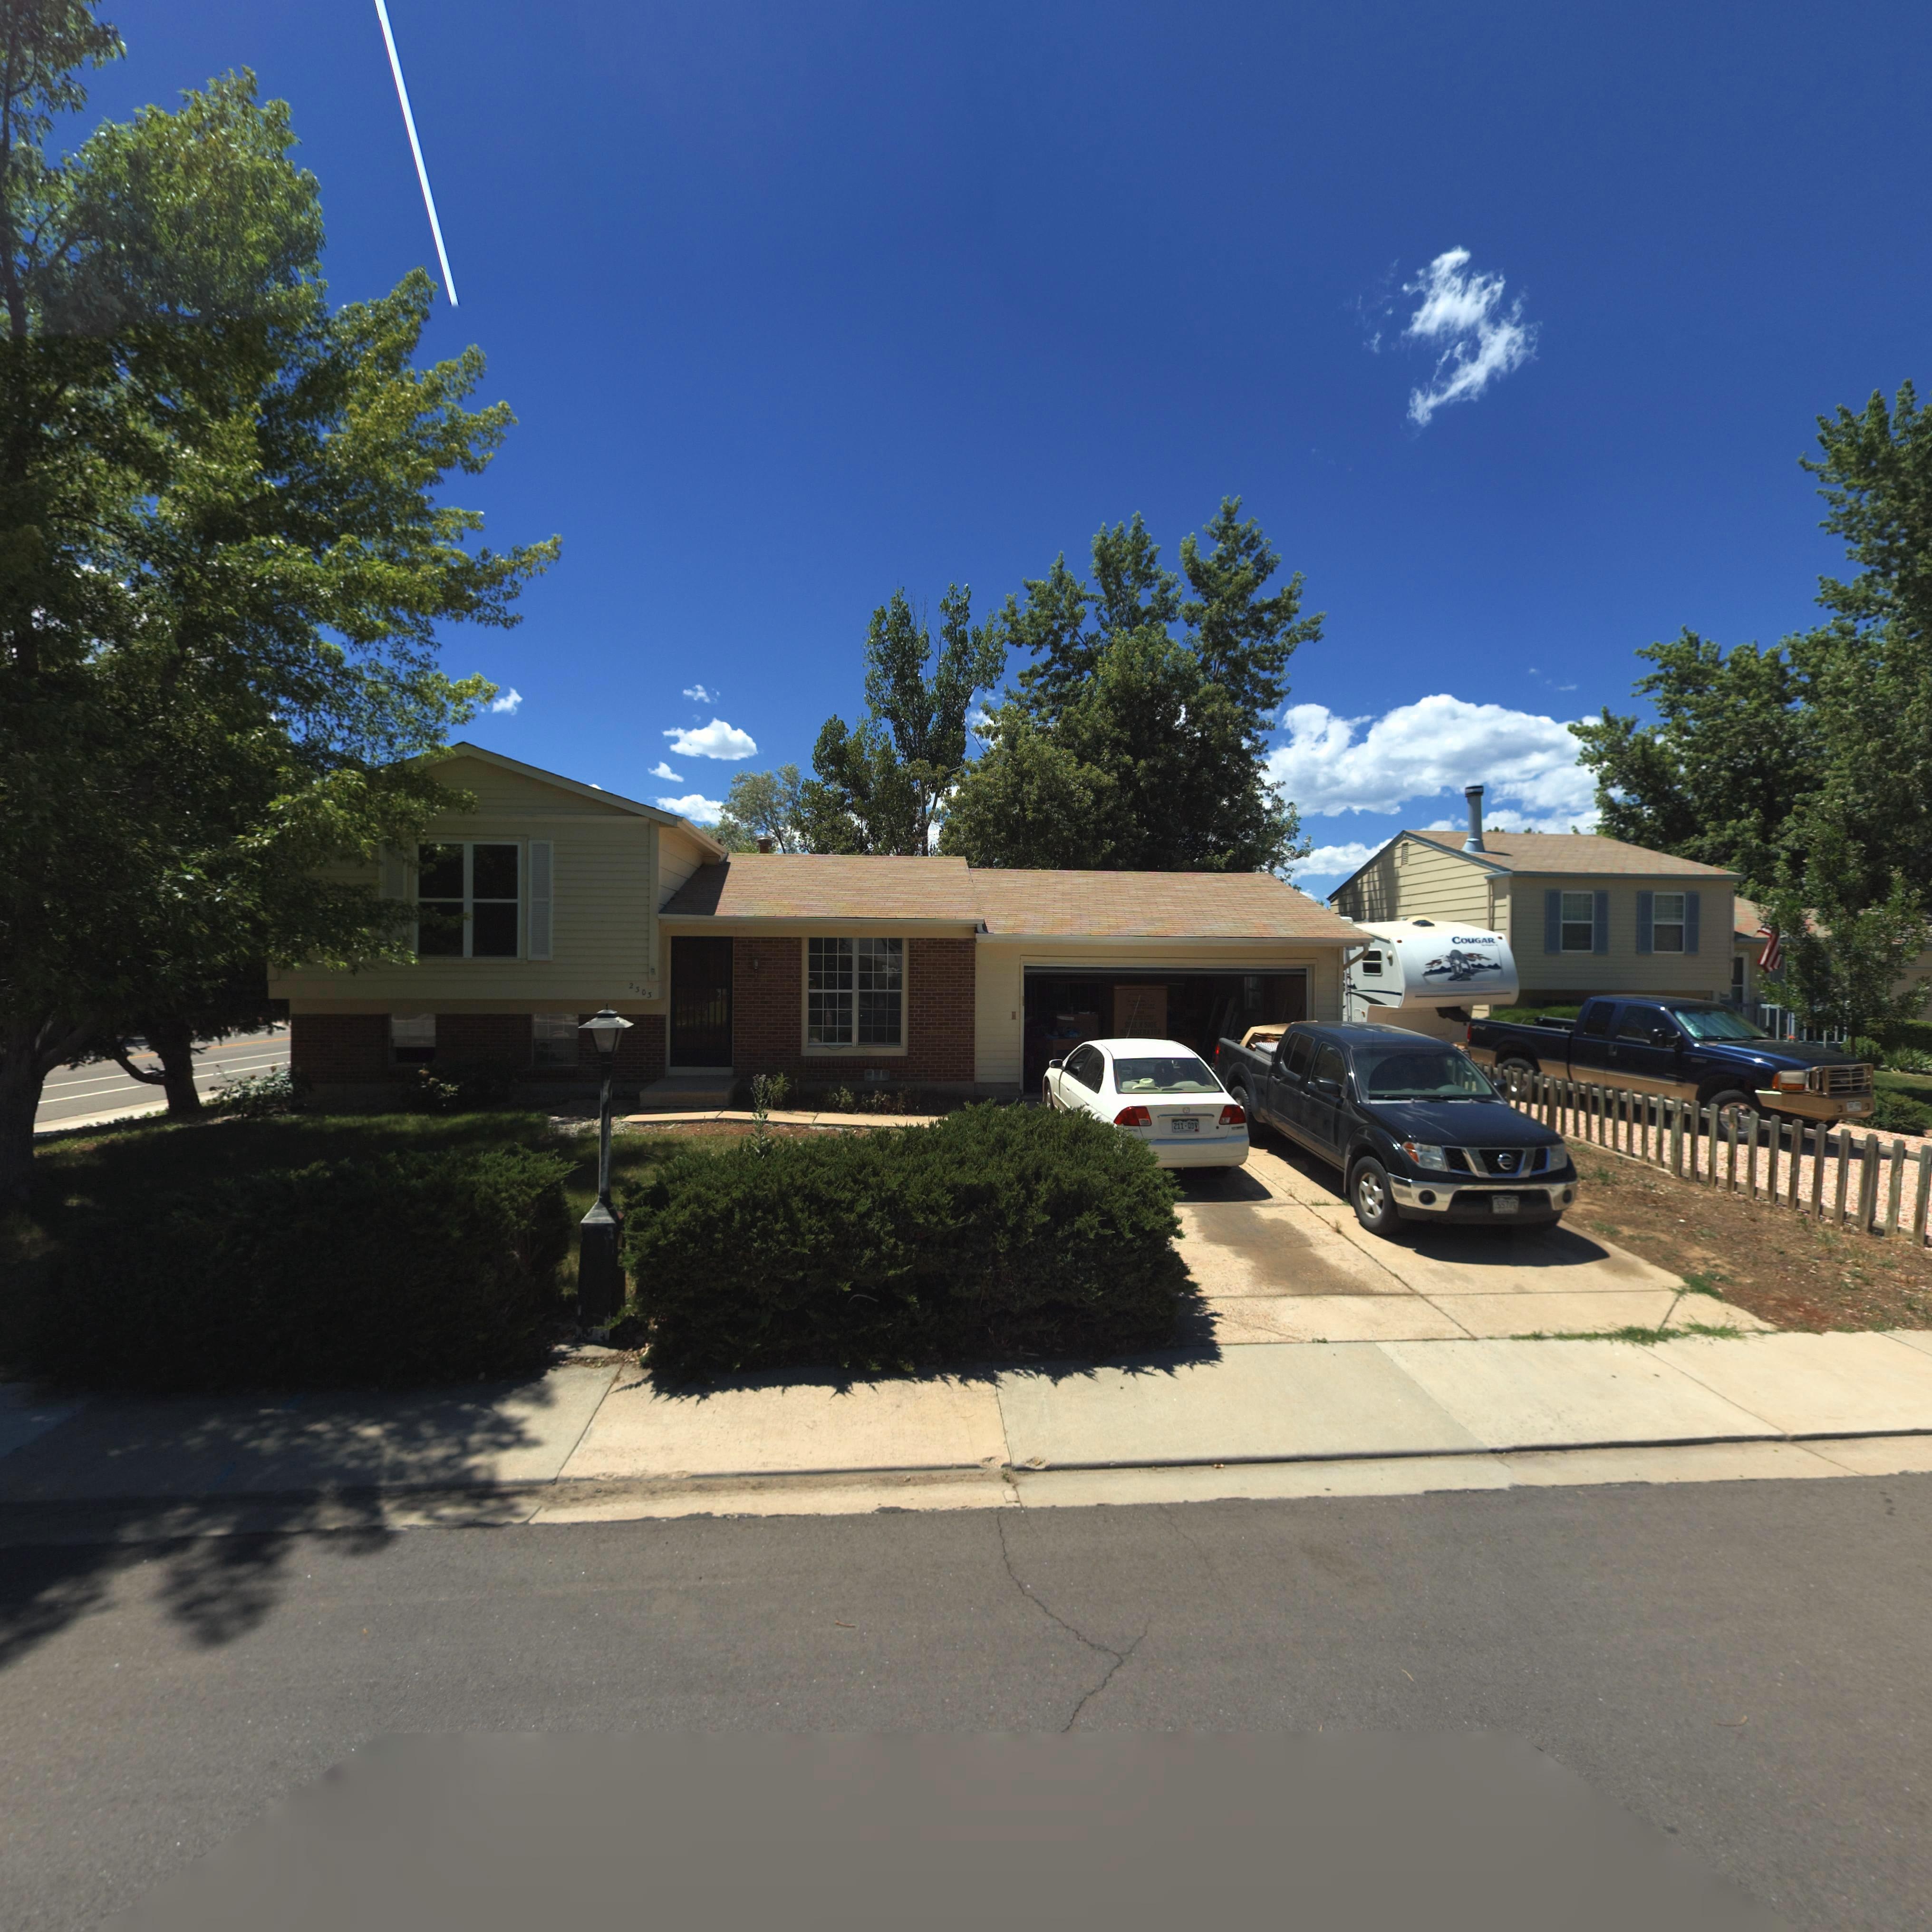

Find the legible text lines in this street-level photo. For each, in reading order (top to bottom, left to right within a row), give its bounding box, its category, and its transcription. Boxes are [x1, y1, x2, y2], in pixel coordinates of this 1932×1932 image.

[628, 982, 652, 998] StreetNumber: 2303